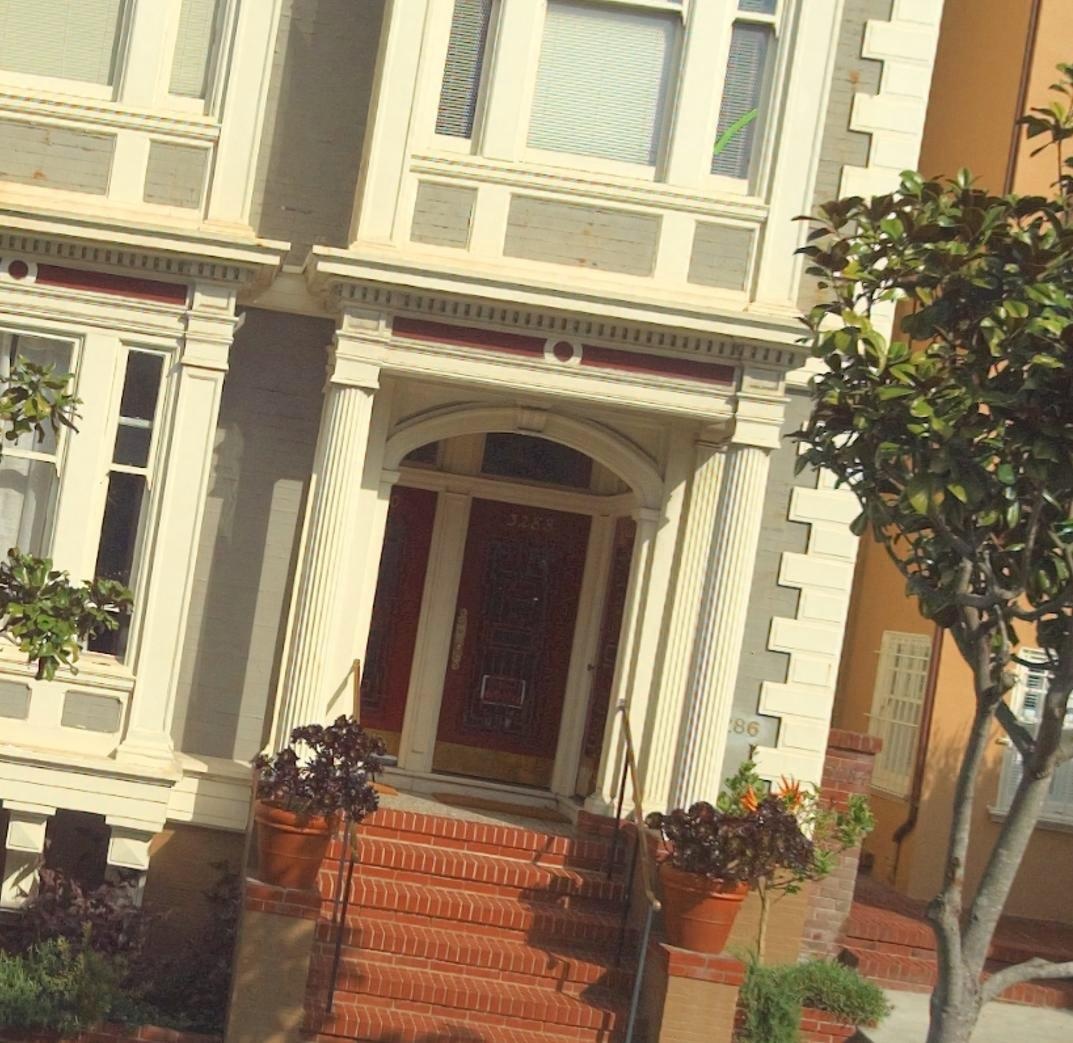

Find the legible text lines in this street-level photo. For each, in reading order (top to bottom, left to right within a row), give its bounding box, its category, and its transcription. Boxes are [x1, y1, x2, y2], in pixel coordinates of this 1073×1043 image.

[502, 507, 558, 536] StreetNumber: 3288
[729, 714, 763, 741] StreetNumber: 86